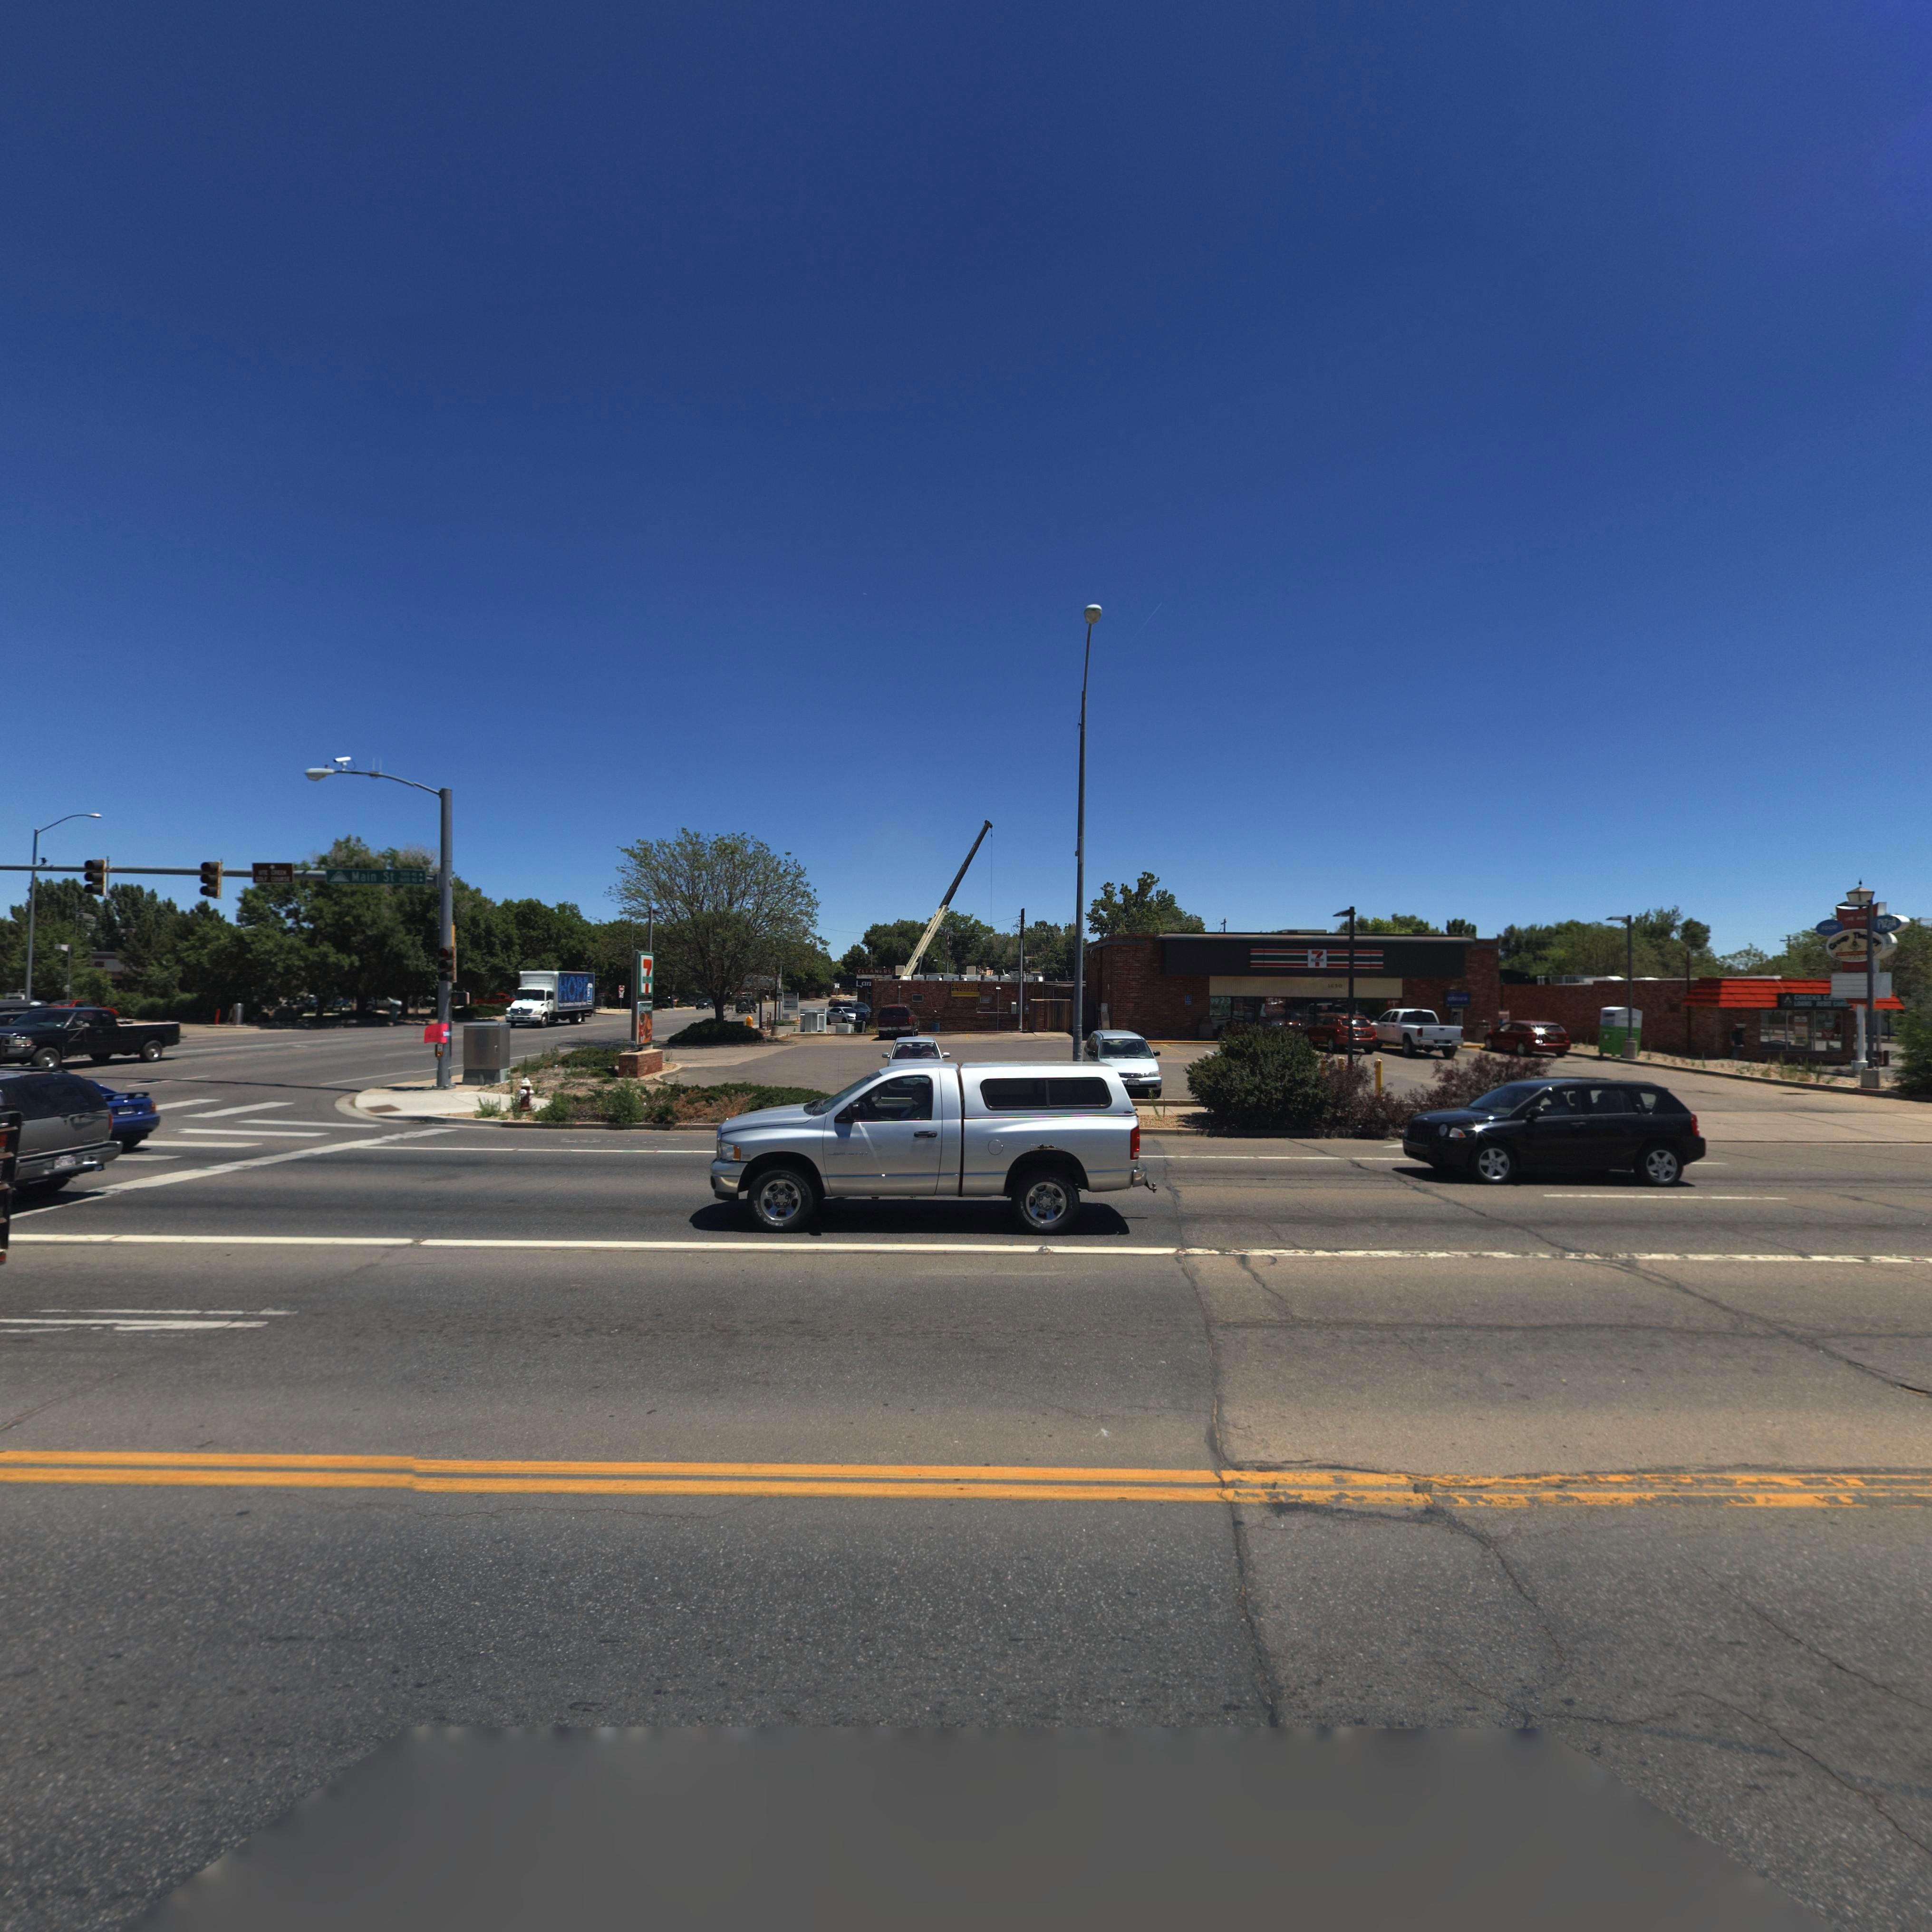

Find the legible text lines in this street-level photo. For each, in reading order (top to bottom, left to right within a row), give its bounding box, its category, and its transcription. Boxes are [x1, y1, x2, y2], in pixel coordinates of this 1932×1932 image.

[351, 870, 394, 882] StreetName: Main St
[398, 877, 424, 882] StreetNumberRange: 1*** ** ->
[1828, 930, 1883, 950] BusinessName: Group The**py
[1311, 949, 1323, 966] BusinessName: 7
[642, 976, 651, 983] BusinessName: E*E*E*
[856, 980, 872, 987] BusinessName: La*
[952, 983, 978, 987] BusinessName: POLLERIA
[1327, 983, 1343, 988] StreetNumber: 1*50
[957, 988, 978, 991] BusinessName: *OGATA
[1794, 994, 1846, 1001] BusinessName: CHECKS C